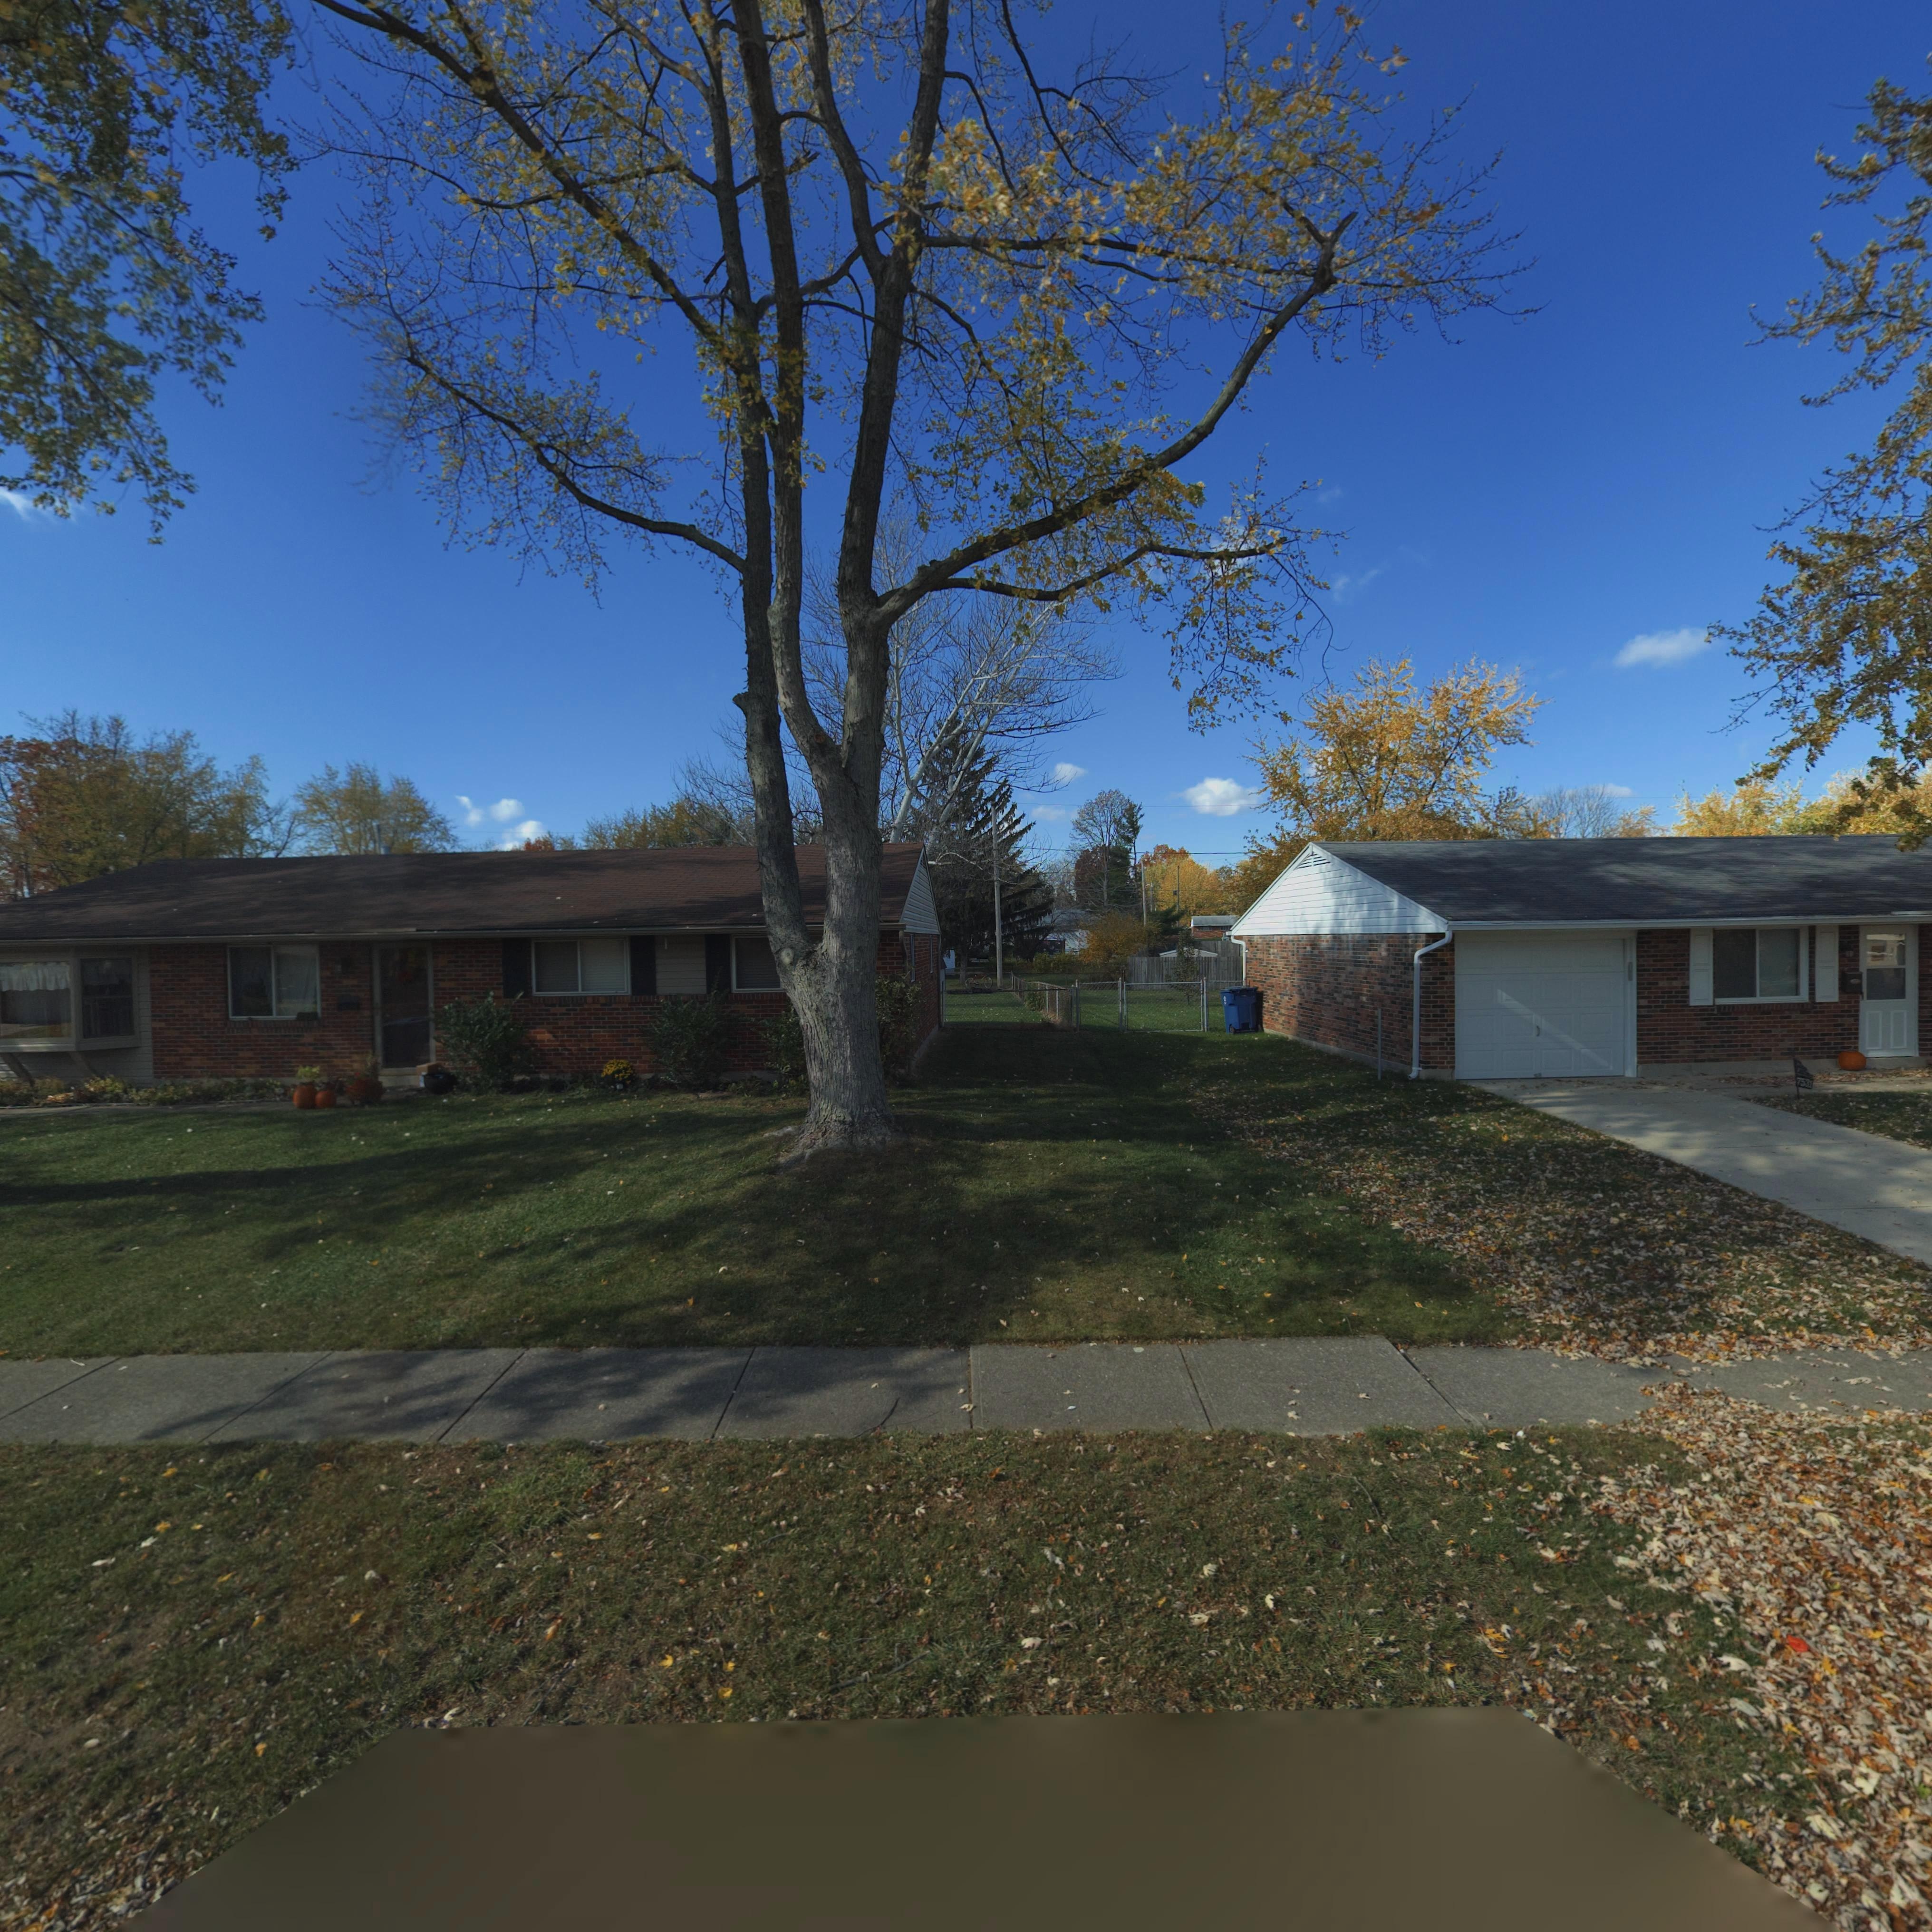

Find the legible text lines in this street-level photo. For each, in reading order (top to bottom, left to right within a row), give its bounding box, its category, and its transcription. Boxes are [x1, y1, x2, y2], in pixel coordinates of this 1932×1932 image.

[1795, 1075, 1814, 1090] StreetNumber: 7531